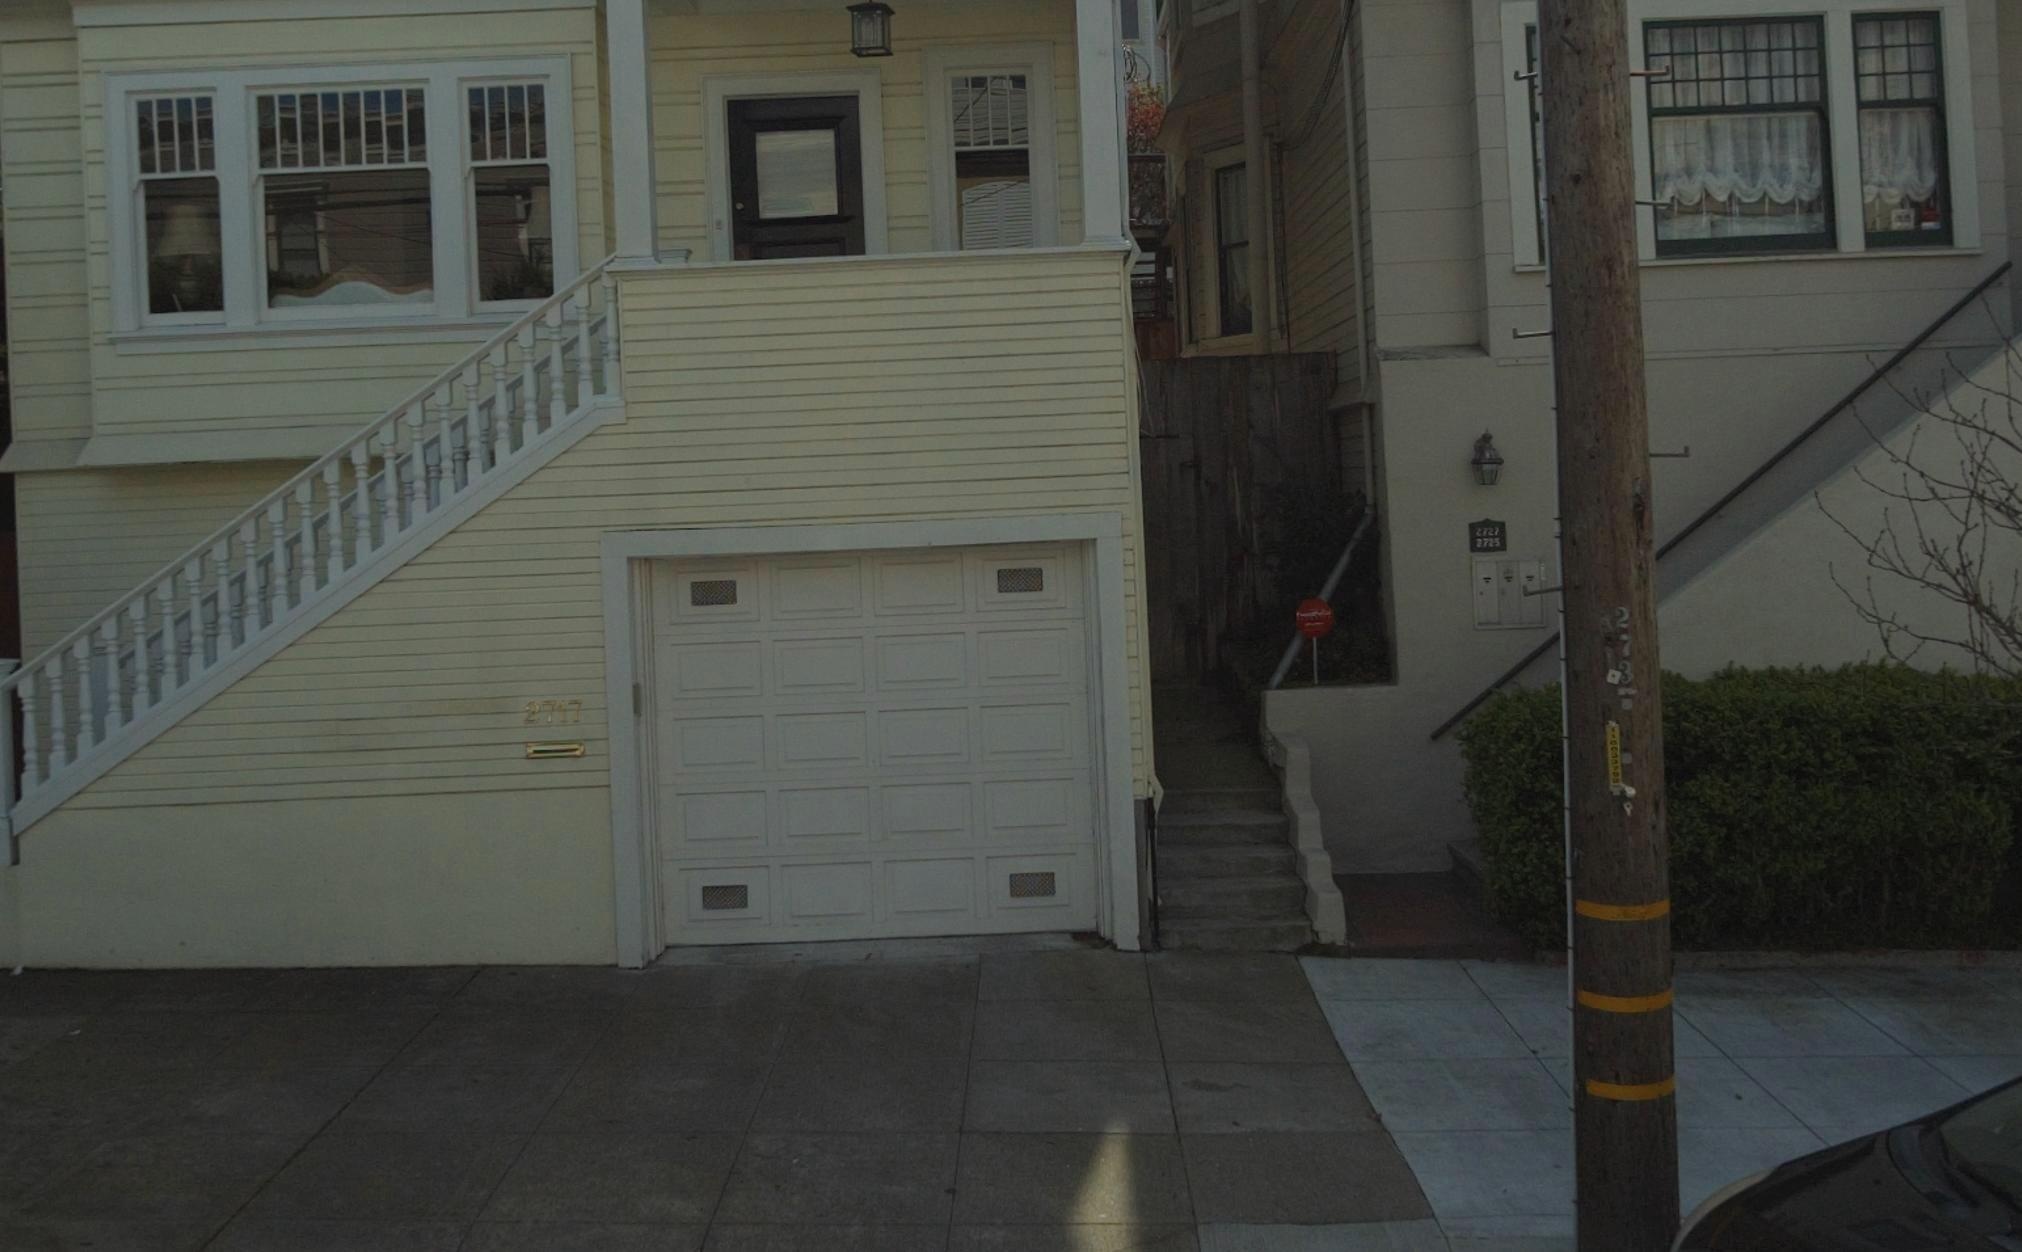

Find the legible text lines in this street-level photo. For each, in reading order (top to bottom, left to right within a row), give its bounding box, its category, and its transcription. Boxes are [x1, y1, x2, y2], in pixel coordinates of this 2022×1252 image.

[1474, 525, 1501, 538] StreetNumber: 2727
[1474, 536, 1502, 550] None: 2725
[1611, 604, 1635, 687] None: 273
[523, 697, 585, 726] StreetNumber: 2717
[1607, 724, 1624, 786] None: 1100*****